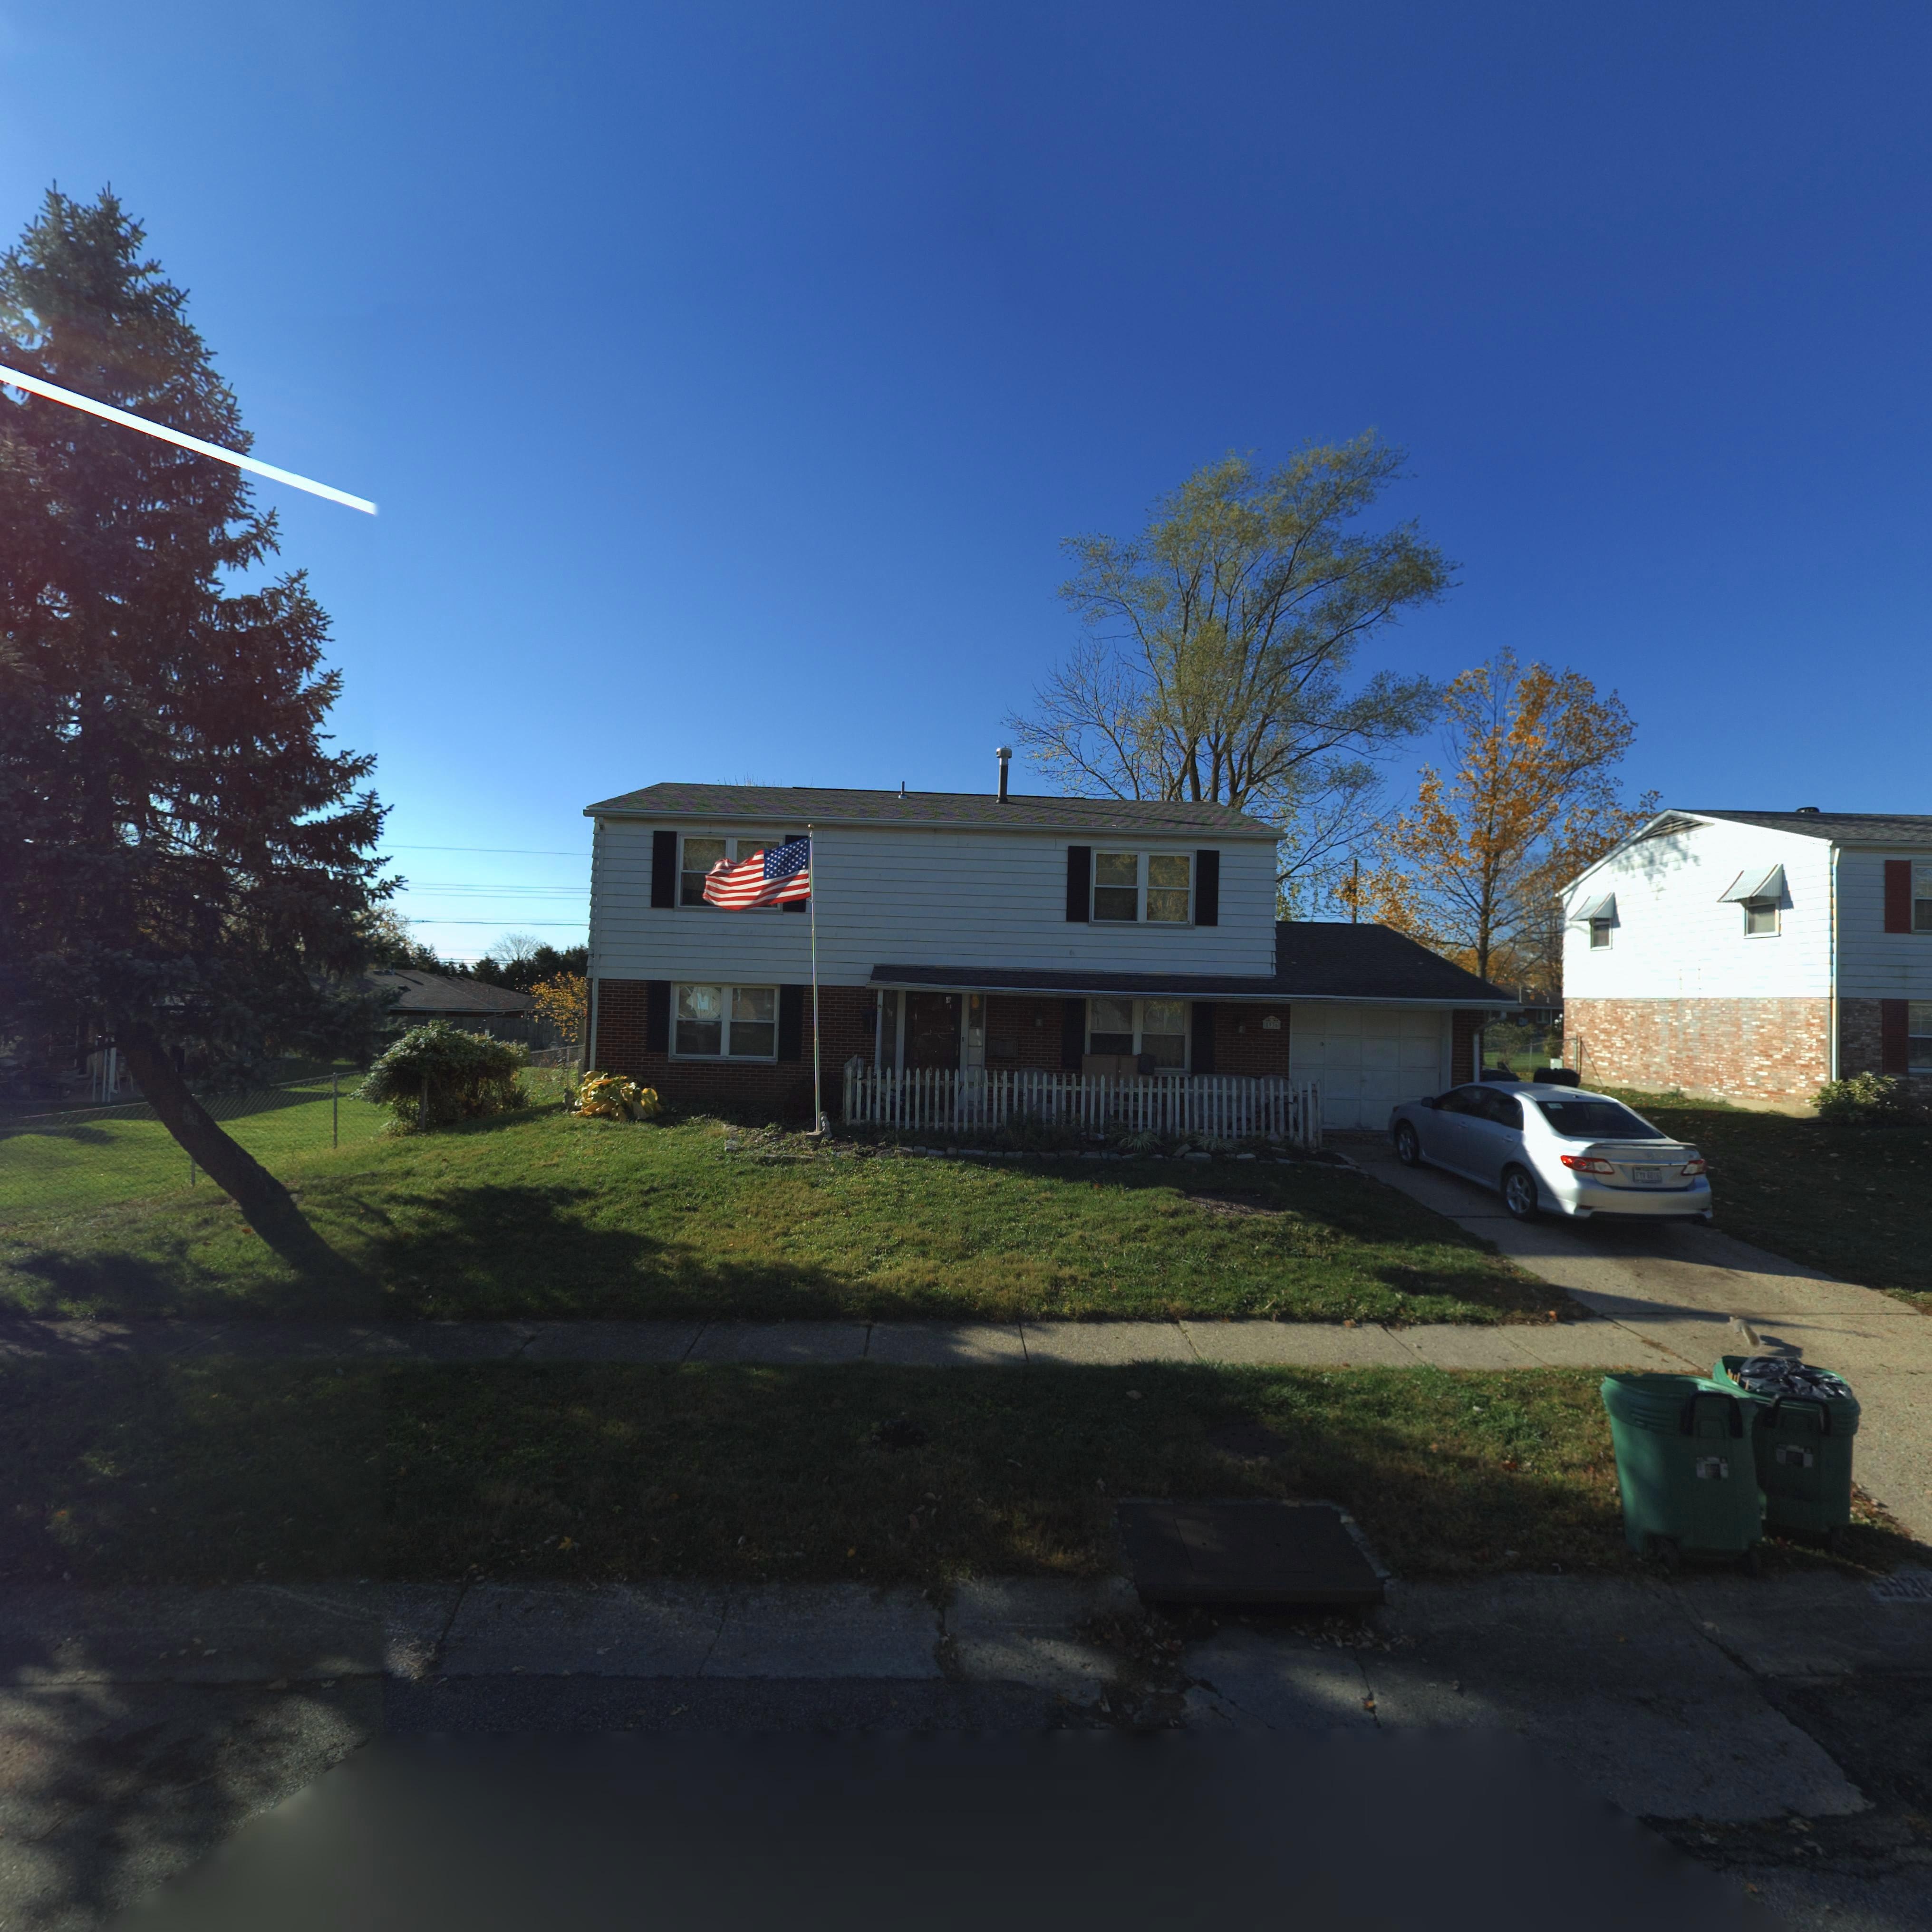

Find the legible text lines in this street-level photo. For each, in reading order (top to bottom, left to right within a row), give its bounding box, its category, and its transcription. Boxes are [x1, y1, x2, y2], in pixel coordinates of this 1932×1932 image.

[1265, 1022, 1279, 1029] StreetNumber: *9**
[1870, 1574, 1930, 1600] StreetNumber: *93